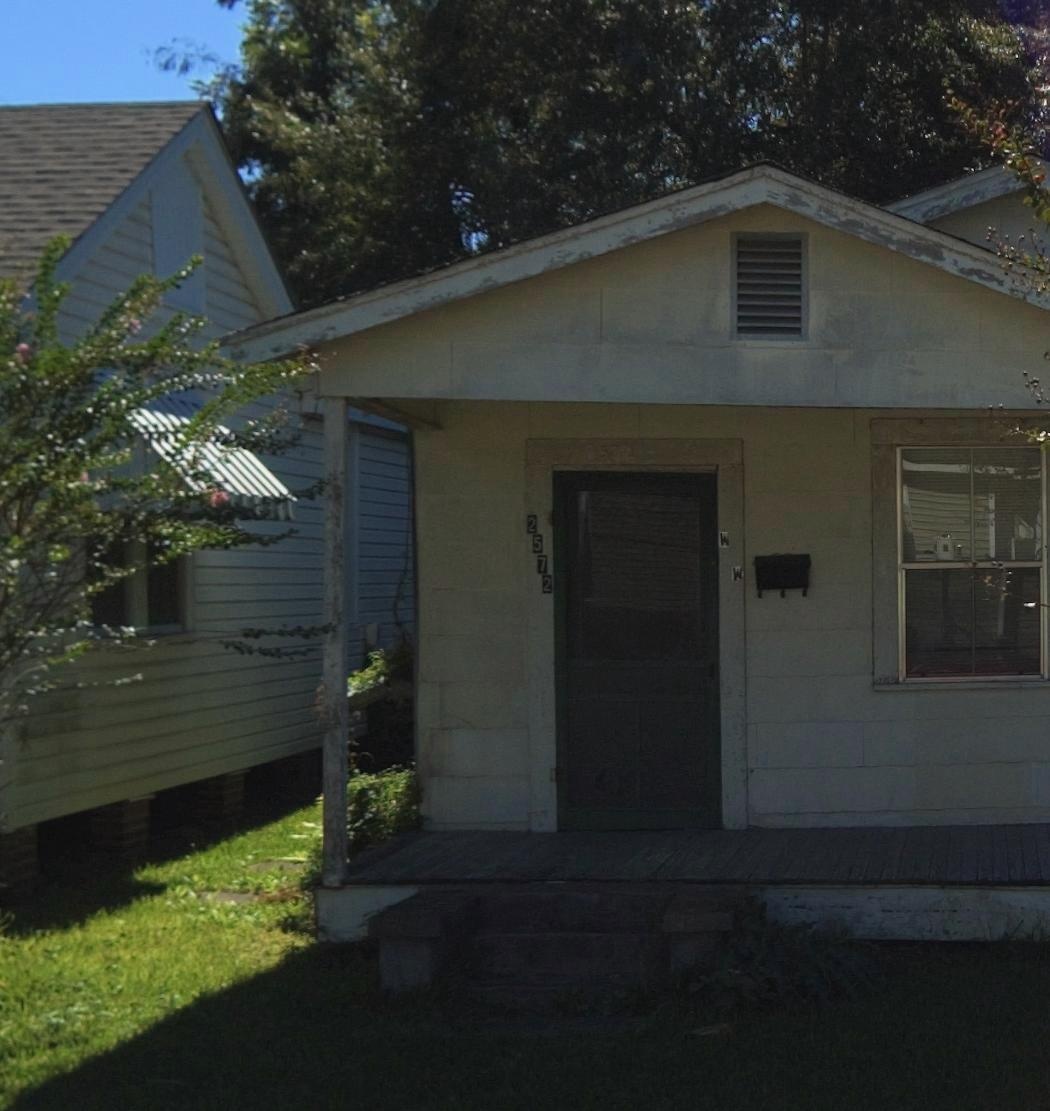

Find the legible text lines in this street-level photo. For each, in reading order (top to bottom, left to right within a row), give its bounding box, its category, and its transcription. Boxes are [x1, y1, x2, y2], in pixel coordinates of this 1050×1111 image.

[524, 516, 554, 594] StreetNumber: 2572